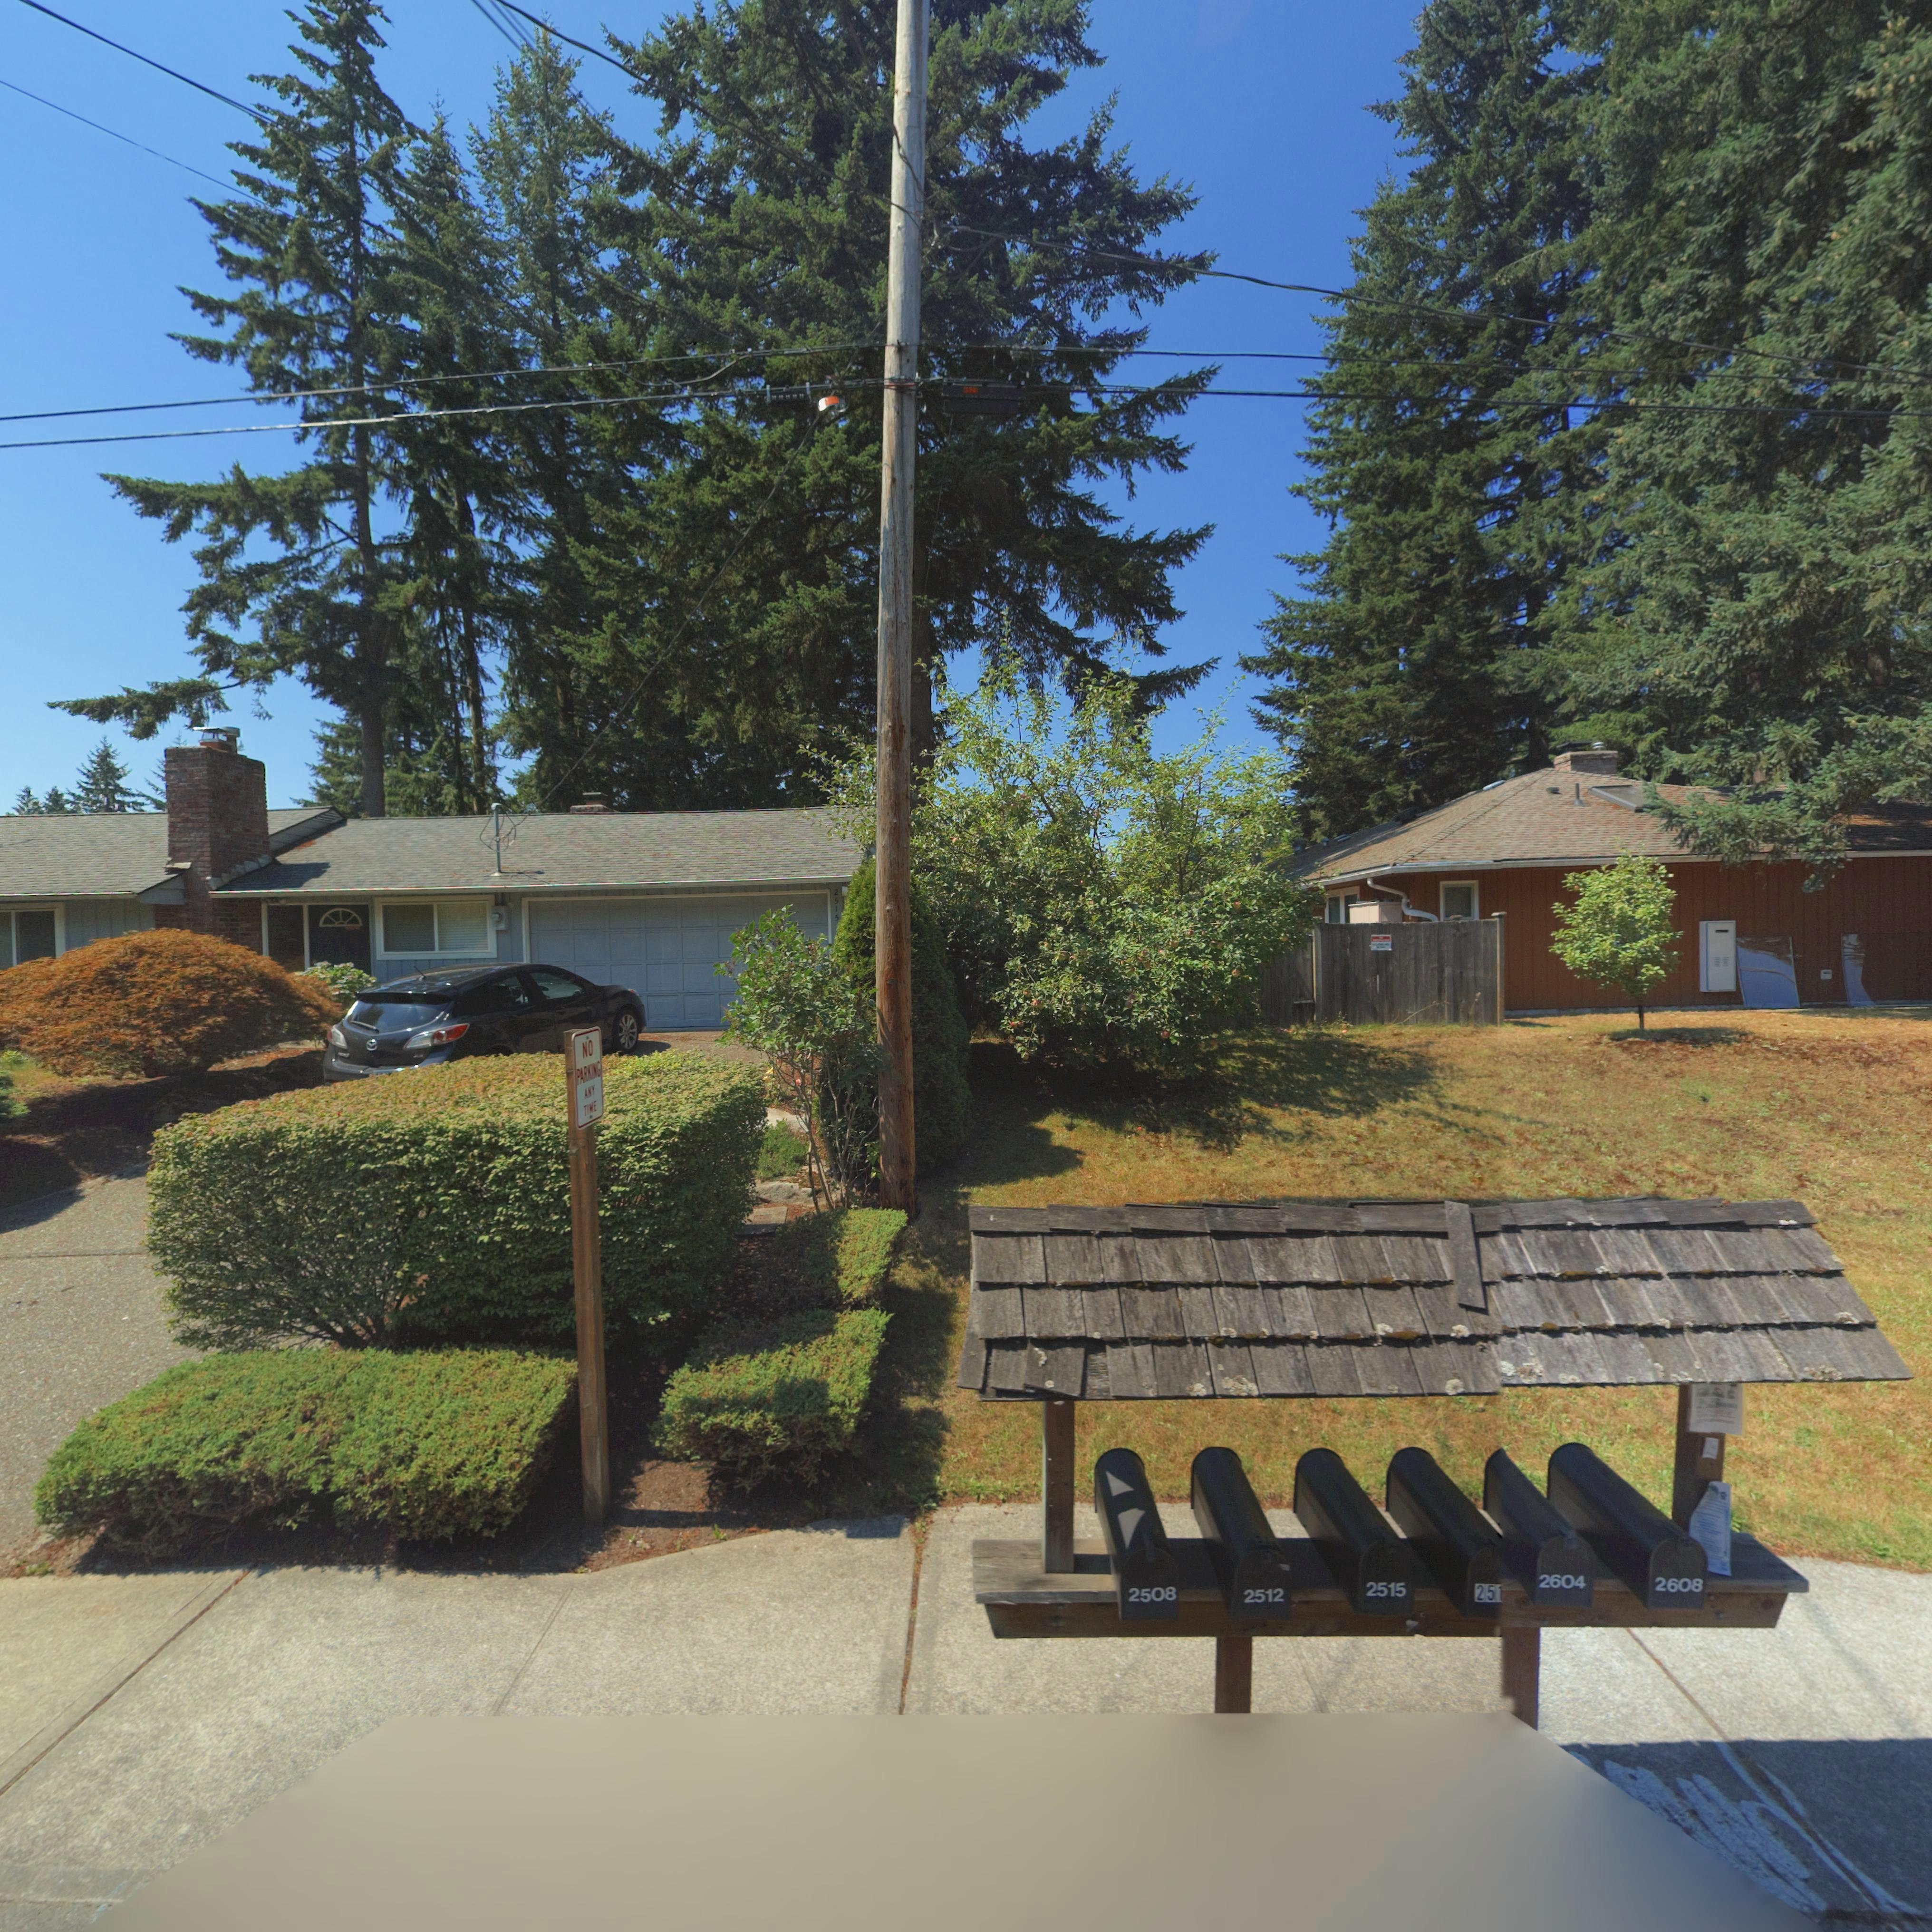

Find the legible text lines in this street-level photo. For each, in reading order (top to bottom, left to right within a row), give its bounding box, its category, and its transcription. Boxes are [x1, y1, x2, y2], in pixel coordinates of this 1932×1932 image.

[833, 889, 839, 921] StreetNumber: 2515
[1128, 1587, 1177, 1601] StreetNumber: 2508
[1244, 1589, 1283, 1602] StreetNumber: 2512
[1365, 1581, 1406, 1597] StreetNumber: 2515
[1473, 1585, 1503, 1603] StreetNumber: 251
[1654, 1577, 1703, 1593] StreetNumber: 2608